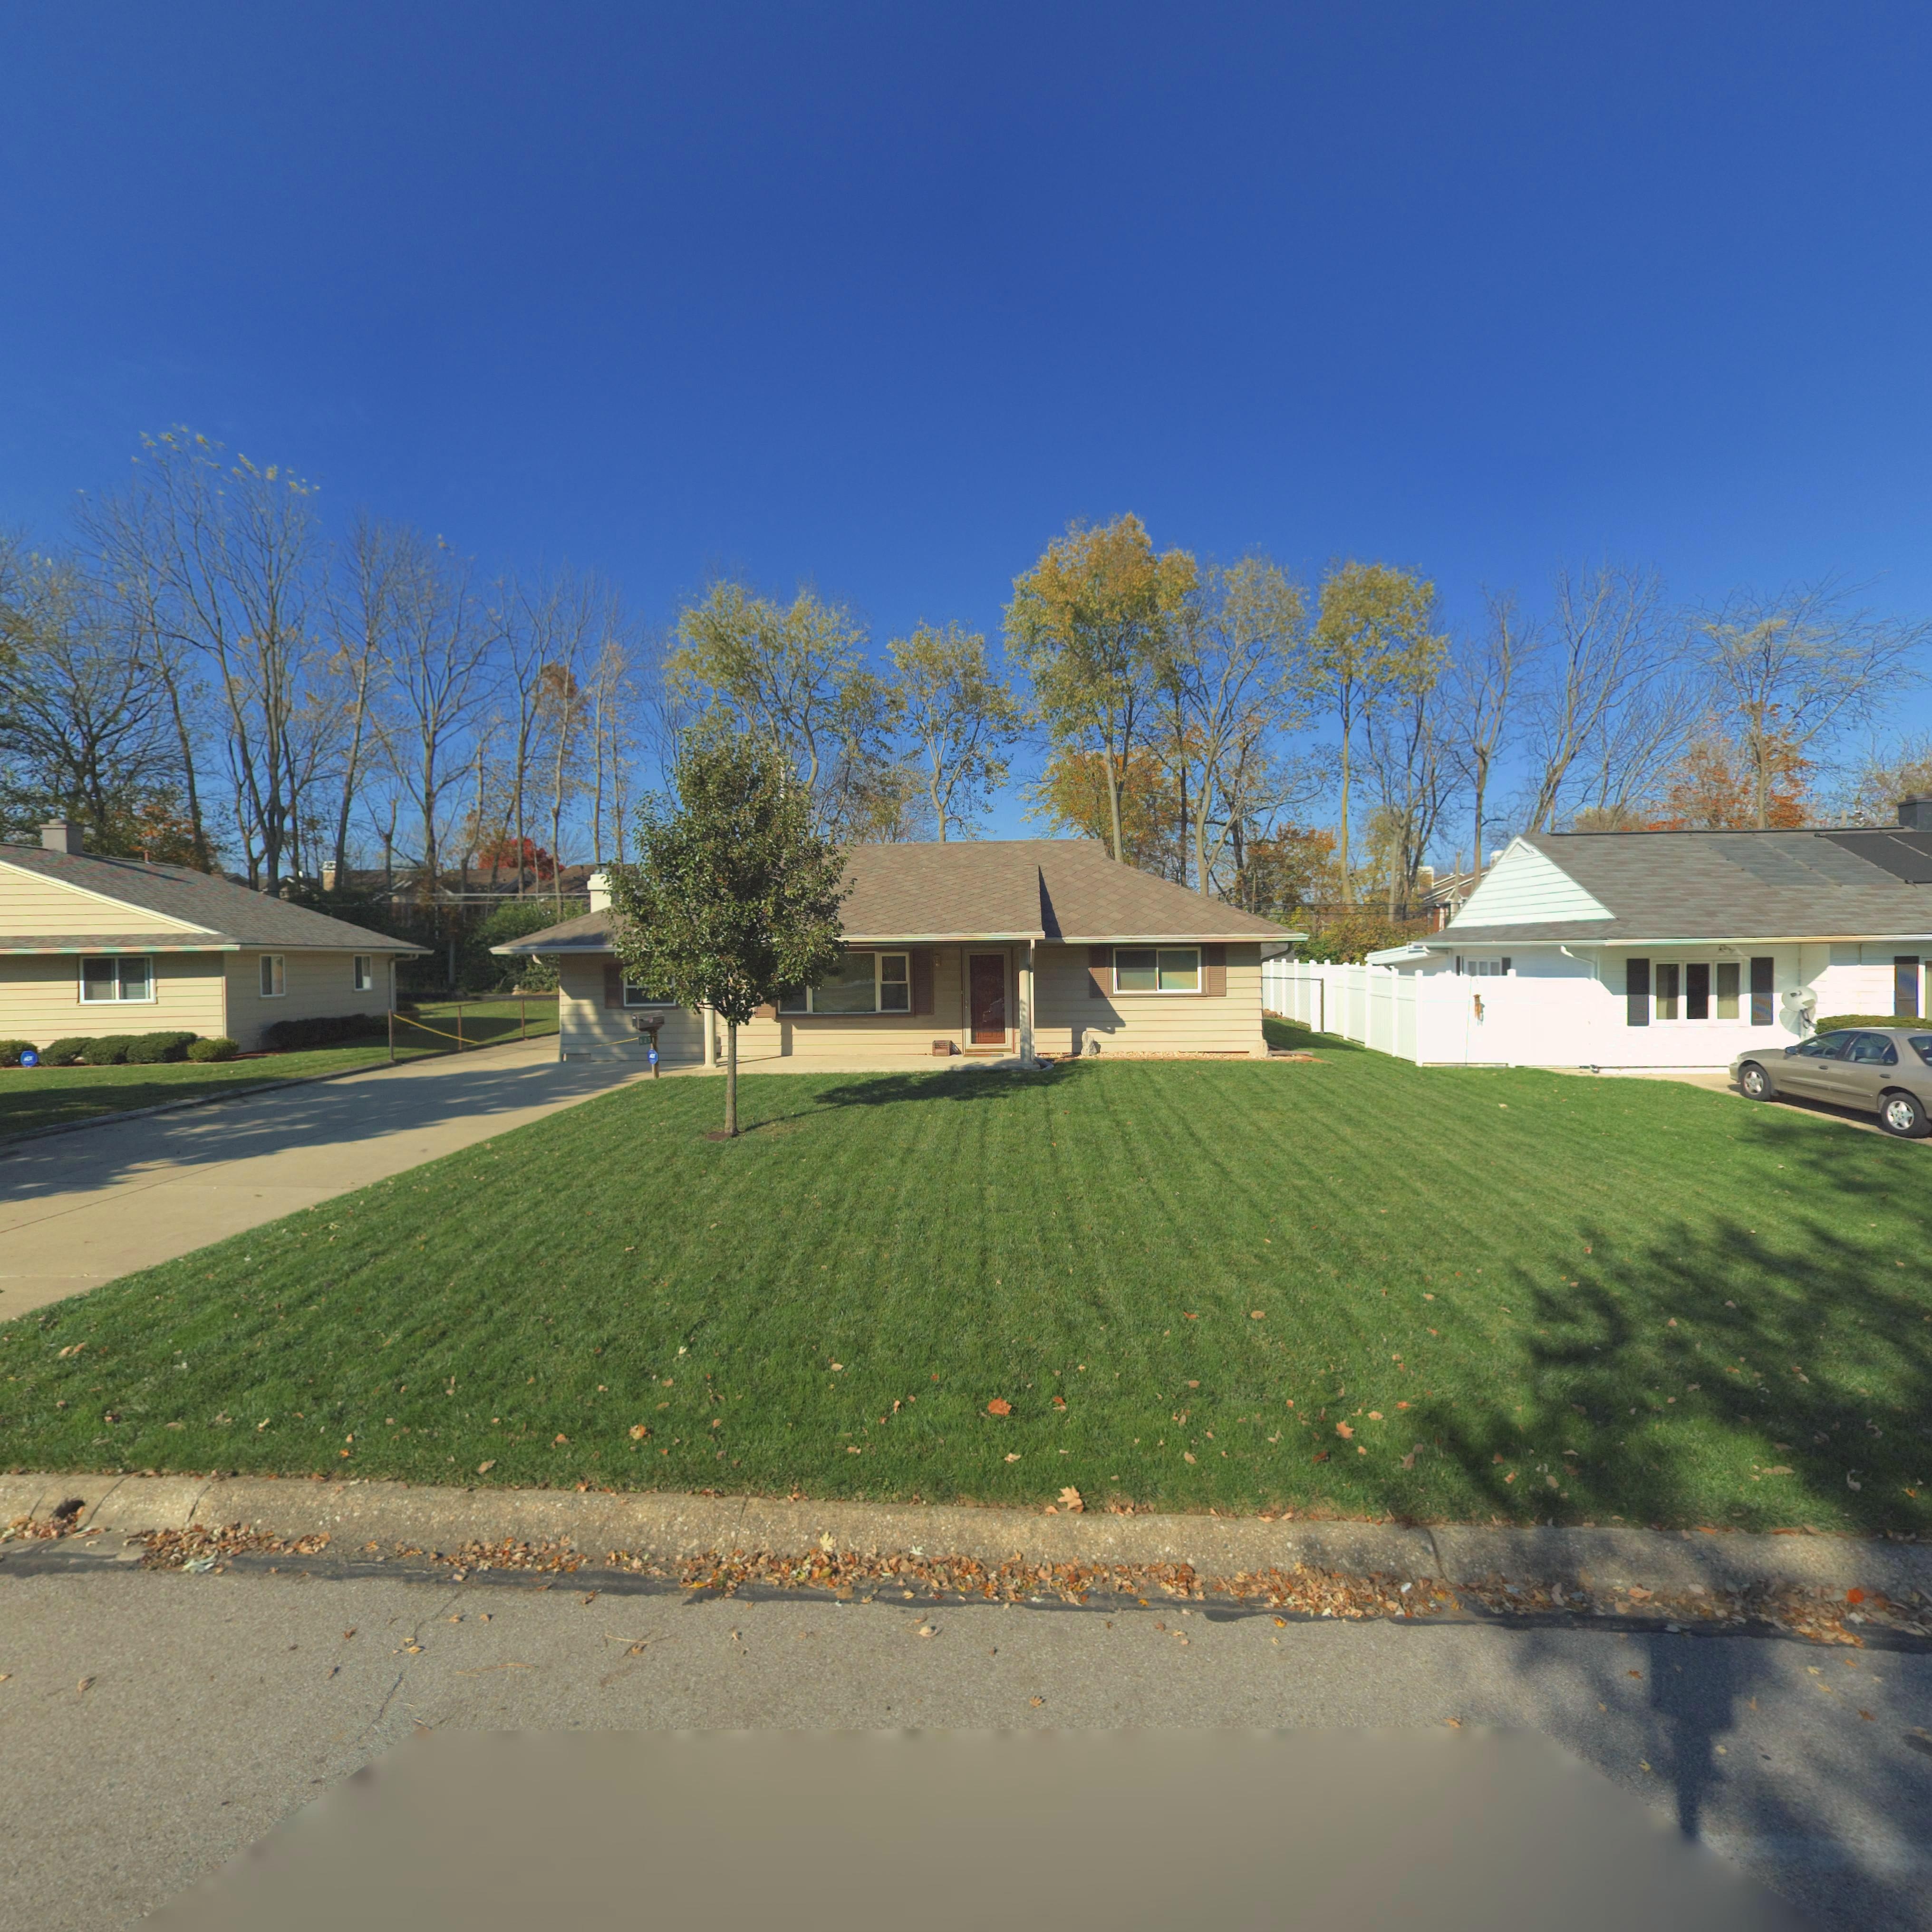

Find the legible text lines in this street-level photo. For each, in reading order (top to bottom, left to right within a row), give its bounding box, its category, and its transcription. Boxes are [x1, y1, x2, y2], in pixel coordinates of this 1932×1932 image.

[640, 1036, 651, 1044] StreetNumber: 825
[649, 1053, 656, 1059] None: ADT